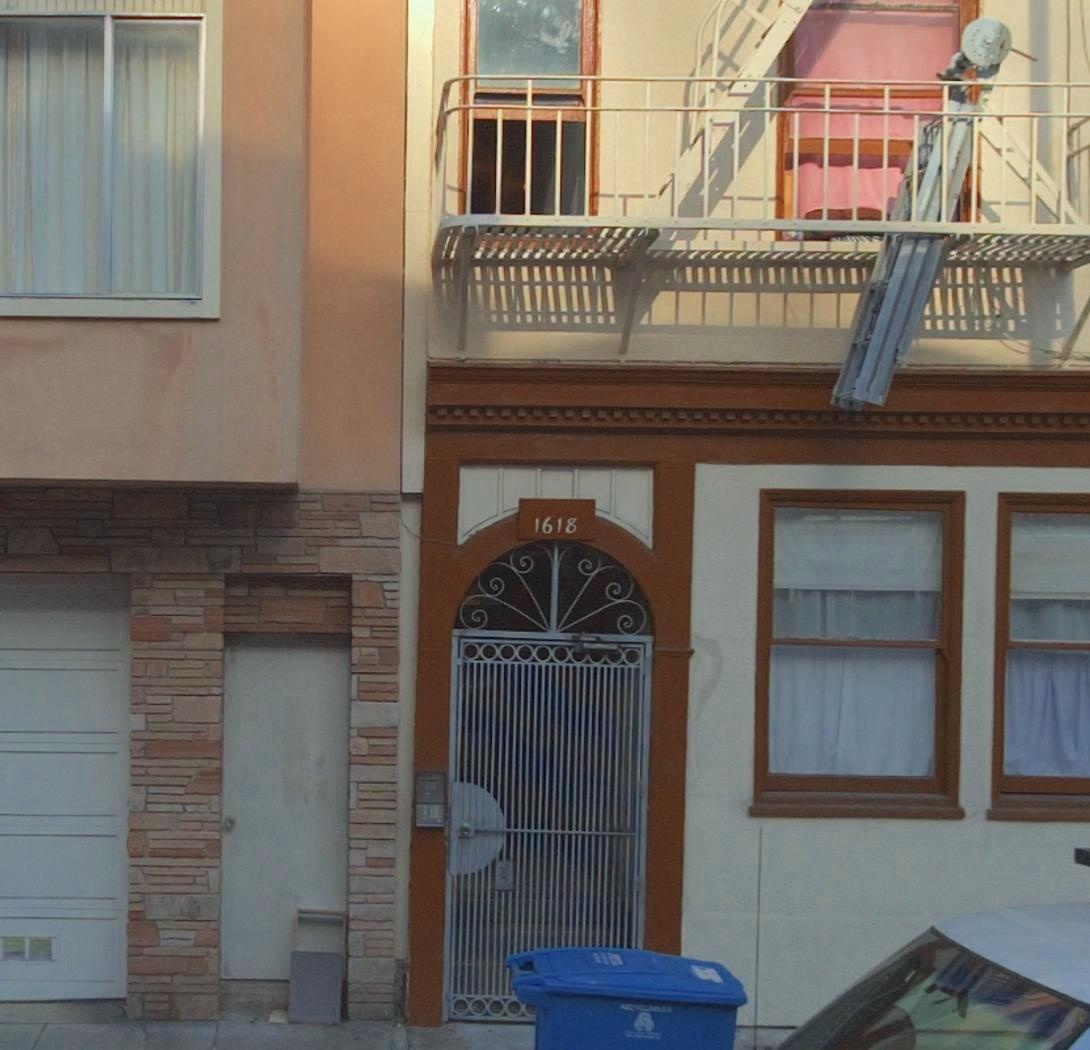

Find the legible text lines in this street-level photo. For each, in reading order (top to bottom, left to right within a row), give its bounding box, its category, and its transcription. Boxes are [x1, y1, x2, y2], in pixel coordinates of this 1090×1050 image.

[532, 513, 581, 537] StreetNumber: 1618